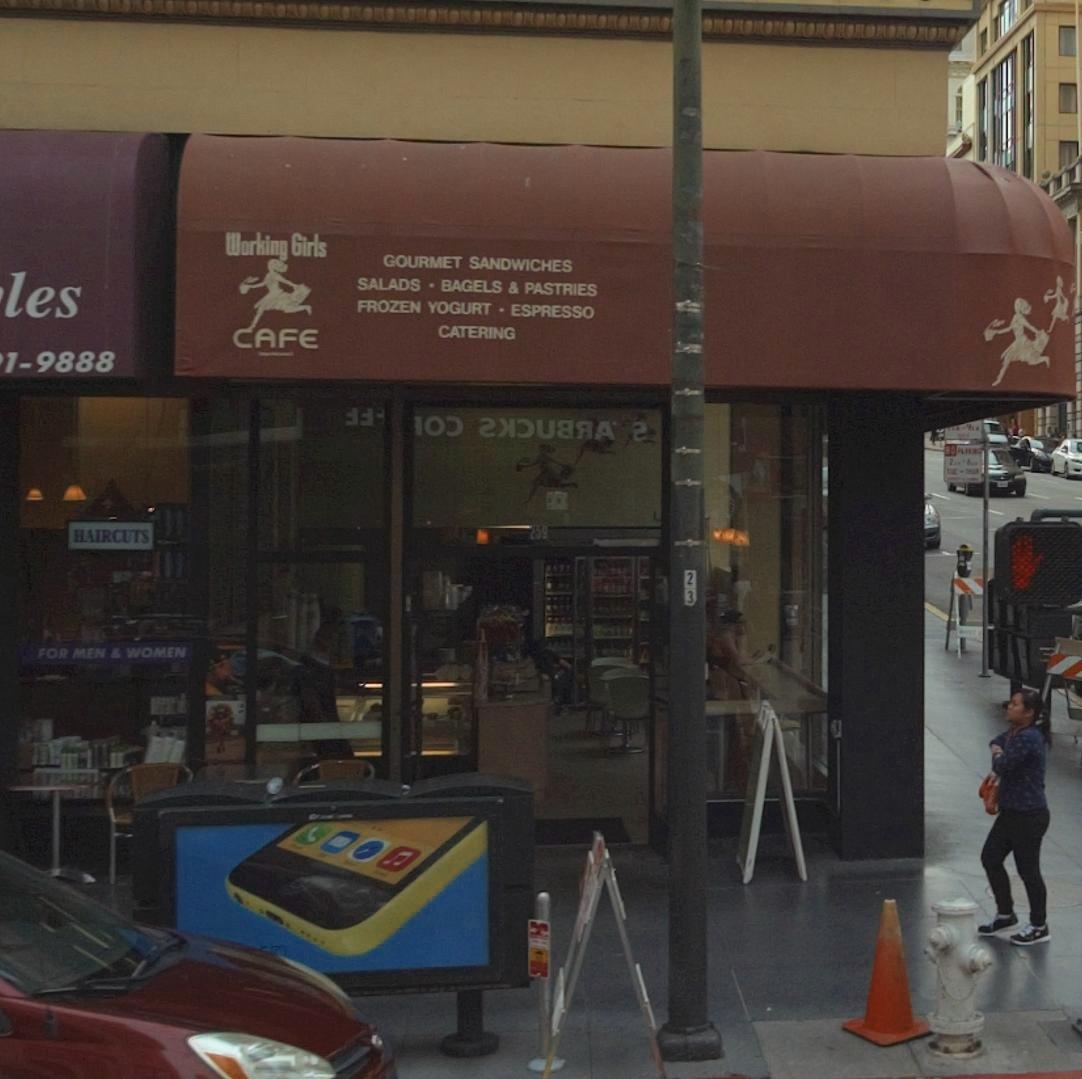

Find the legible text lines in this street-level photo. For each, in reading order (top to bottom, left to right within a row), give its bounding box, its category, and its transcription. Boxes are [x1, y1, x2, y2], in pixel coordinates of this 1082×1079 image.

[224, 230, 327, 262] BusinessName: Working Girls
[382, 253, 573, 273] None: GOURMET SANDWICHES
[2, 269, 83, 320] BusinessName: les
[356, 276, 598, 298] None: SALADS * BAGELS & PASTRIES
[356, 299, 596, 320] None: FROZEN YOGURT * ESPRESSO
[231, 327, 319, 350] BusinessName: CAFE
[437, 324, 517, 341] None: CATERING
[2, 350, 118, 374] None: 1-9888
[422, 415, 650, 443] None: O* ***U**A**
[73, 528, 151, 544] None: HAIRCUTS
[529, 524, 549, 540] StreetNumber: 259
[686, 570, 695, 605] None: 23
[36, 646, 187, 660] None: FOR MEN & WOMEN